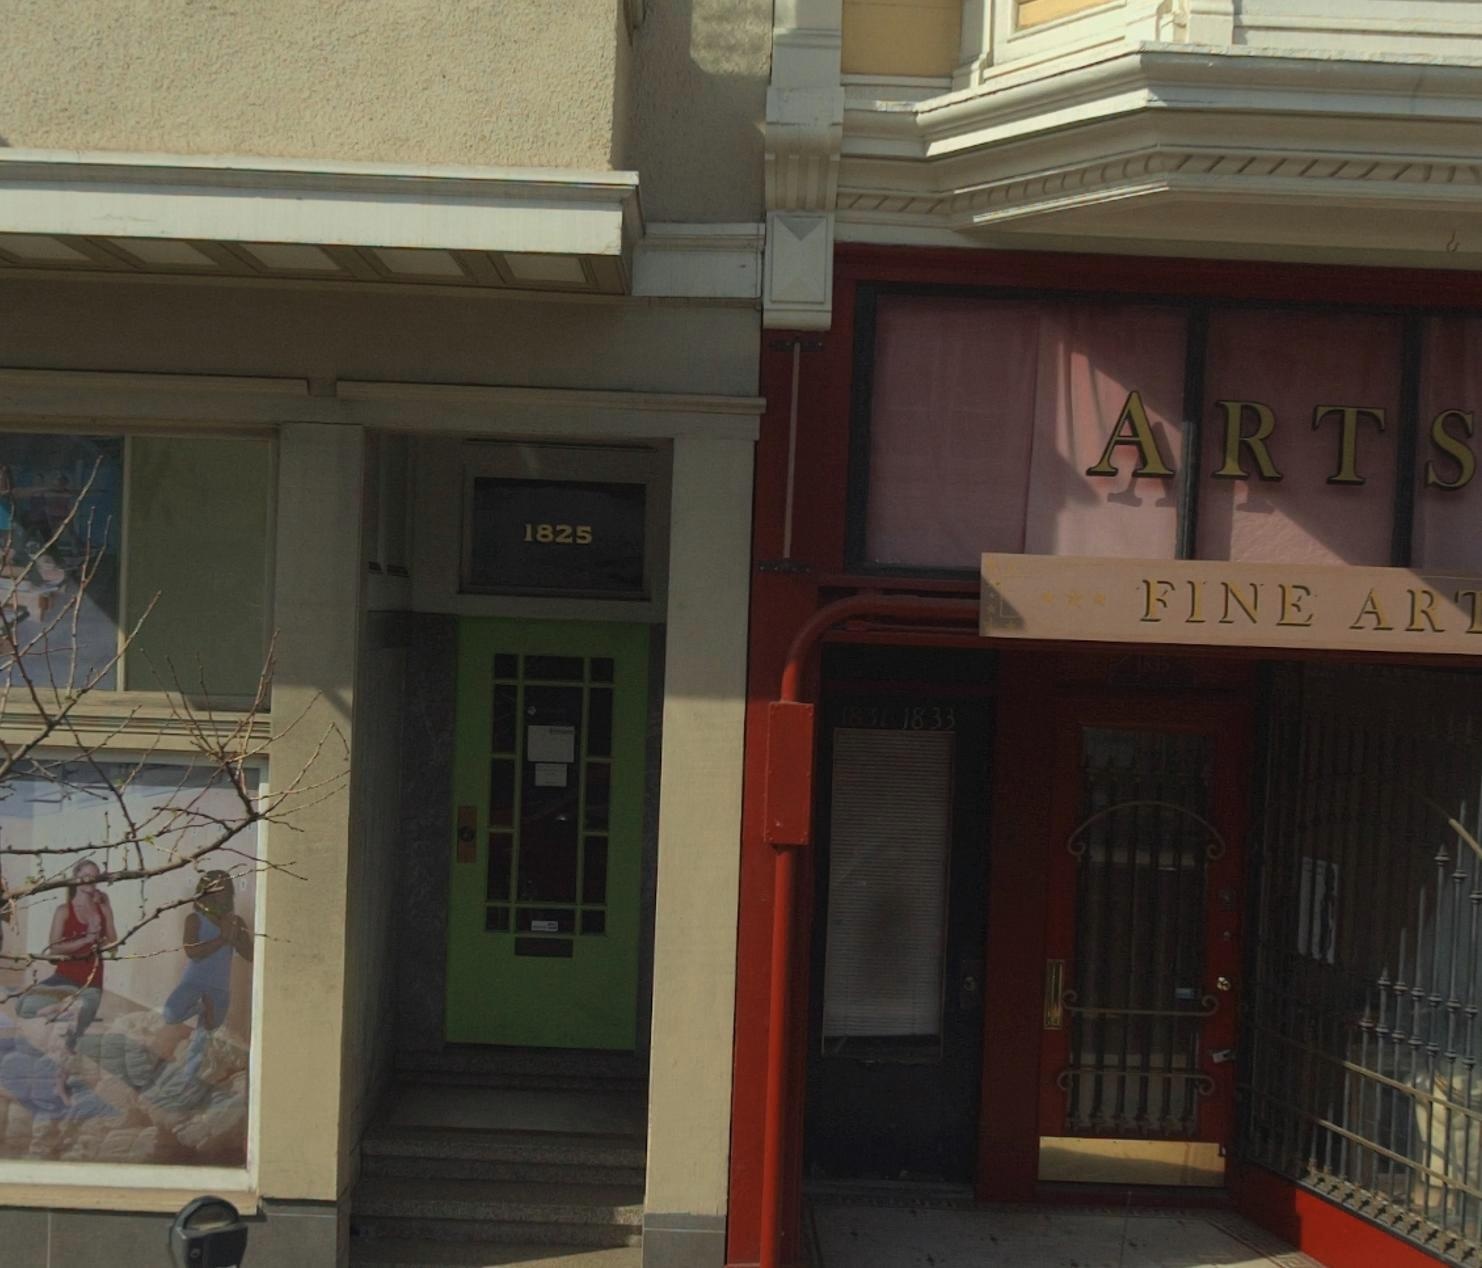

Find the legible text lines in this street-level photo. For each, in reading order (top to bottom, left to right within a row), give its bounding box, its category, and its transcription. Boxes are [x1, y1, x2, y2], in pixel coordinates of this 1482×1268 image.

[1082, 384, 1478, 492] BusinessName: ARTS
[521, 520, 595, 546] StreetNumber: 1825
[1136, 573, 1449, 635] None: FINE AR
[839, 701, 890, 731] StreetNumber: 1831
[899, 704, 958, 733] StreetNumber: 1833